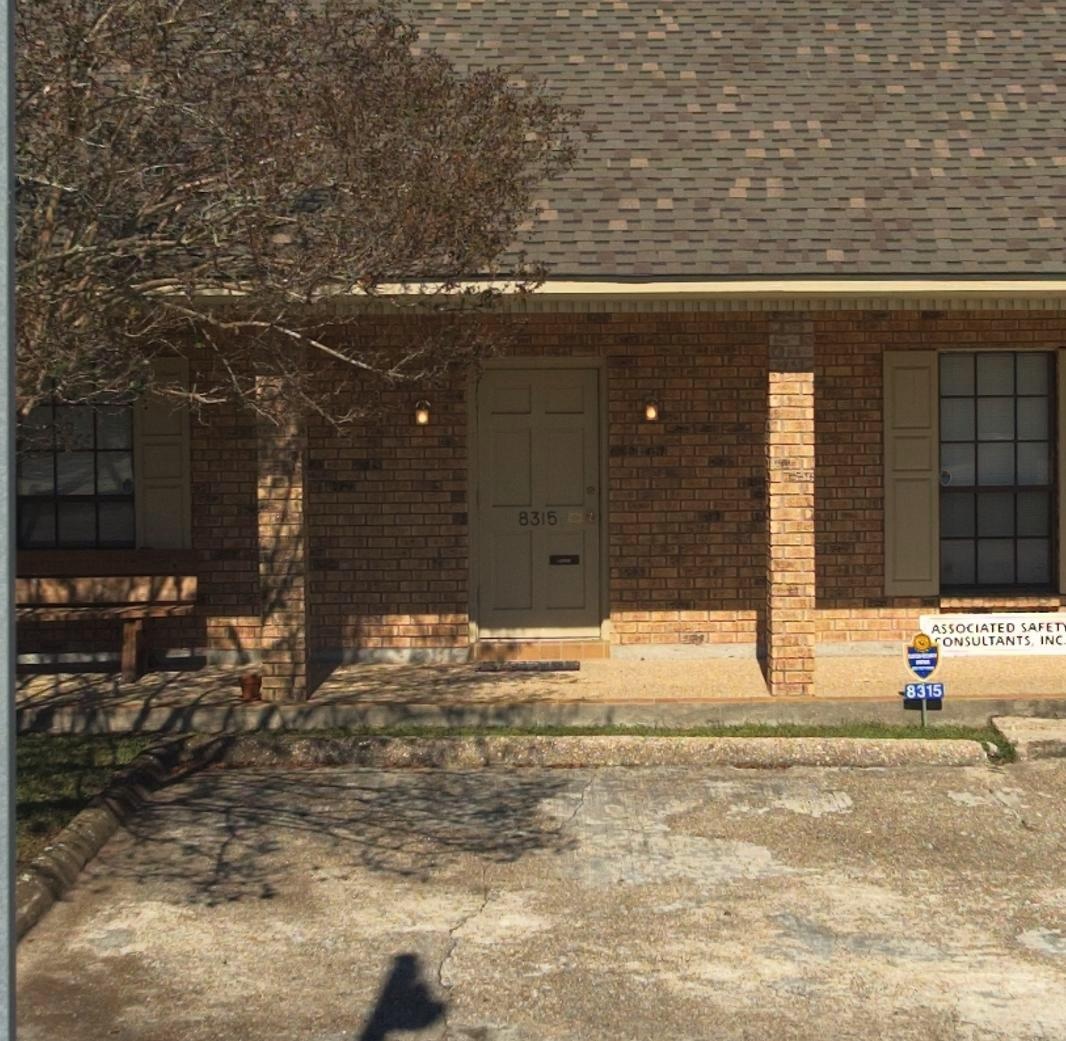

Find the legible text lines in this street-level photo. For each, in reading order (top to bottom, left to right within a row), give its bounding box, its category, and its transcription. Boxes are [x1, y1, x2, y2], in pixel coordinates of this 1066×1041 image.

[517, 508, 560, 528] StreetNumber: 8315
[926, 620, 1064, 637] BusinessName: ASSOCIATED SAFET
[938, 631, 1066, 650] BusinessName: ONSULTANTS, INC
[904, 682, 945, 699] StreetNumber: 8315